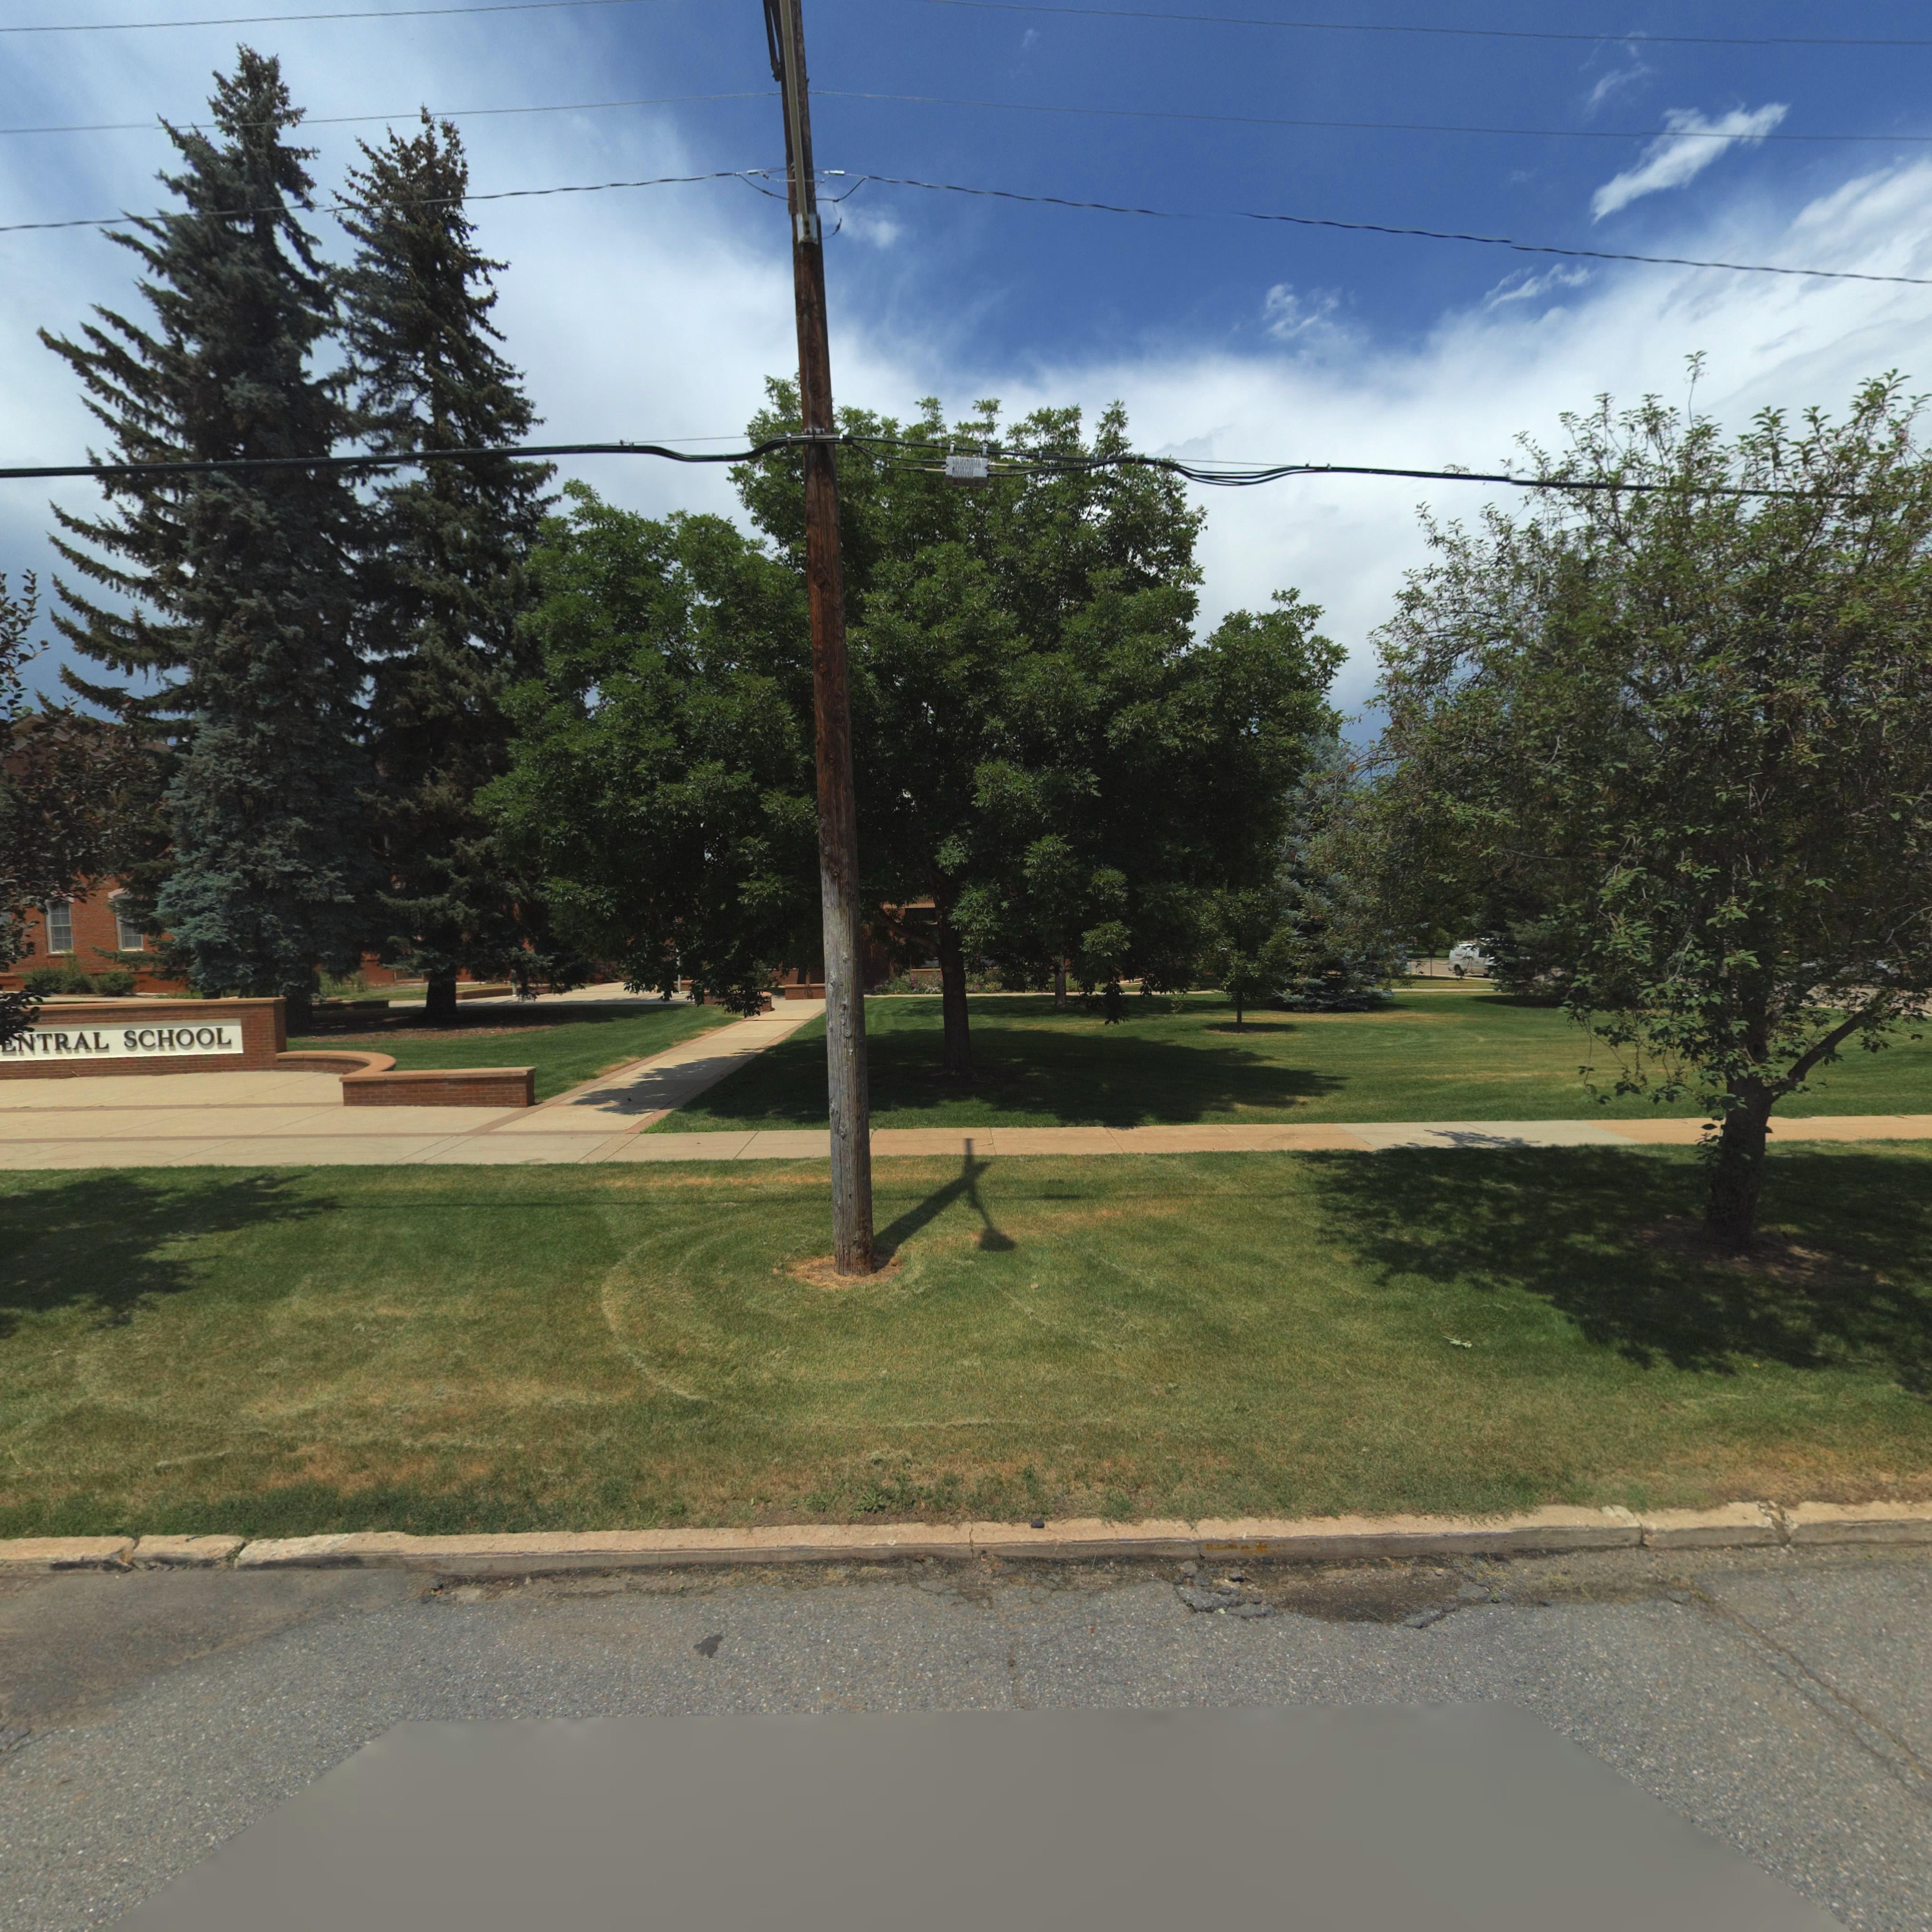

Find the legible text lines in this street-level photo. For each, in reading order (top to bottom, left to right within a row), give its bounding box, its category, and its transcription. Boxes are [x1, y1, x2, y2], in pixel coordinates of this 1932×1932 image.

[0, 1026, 237, 1053] BusinessName: *NTRAL SCHOOL